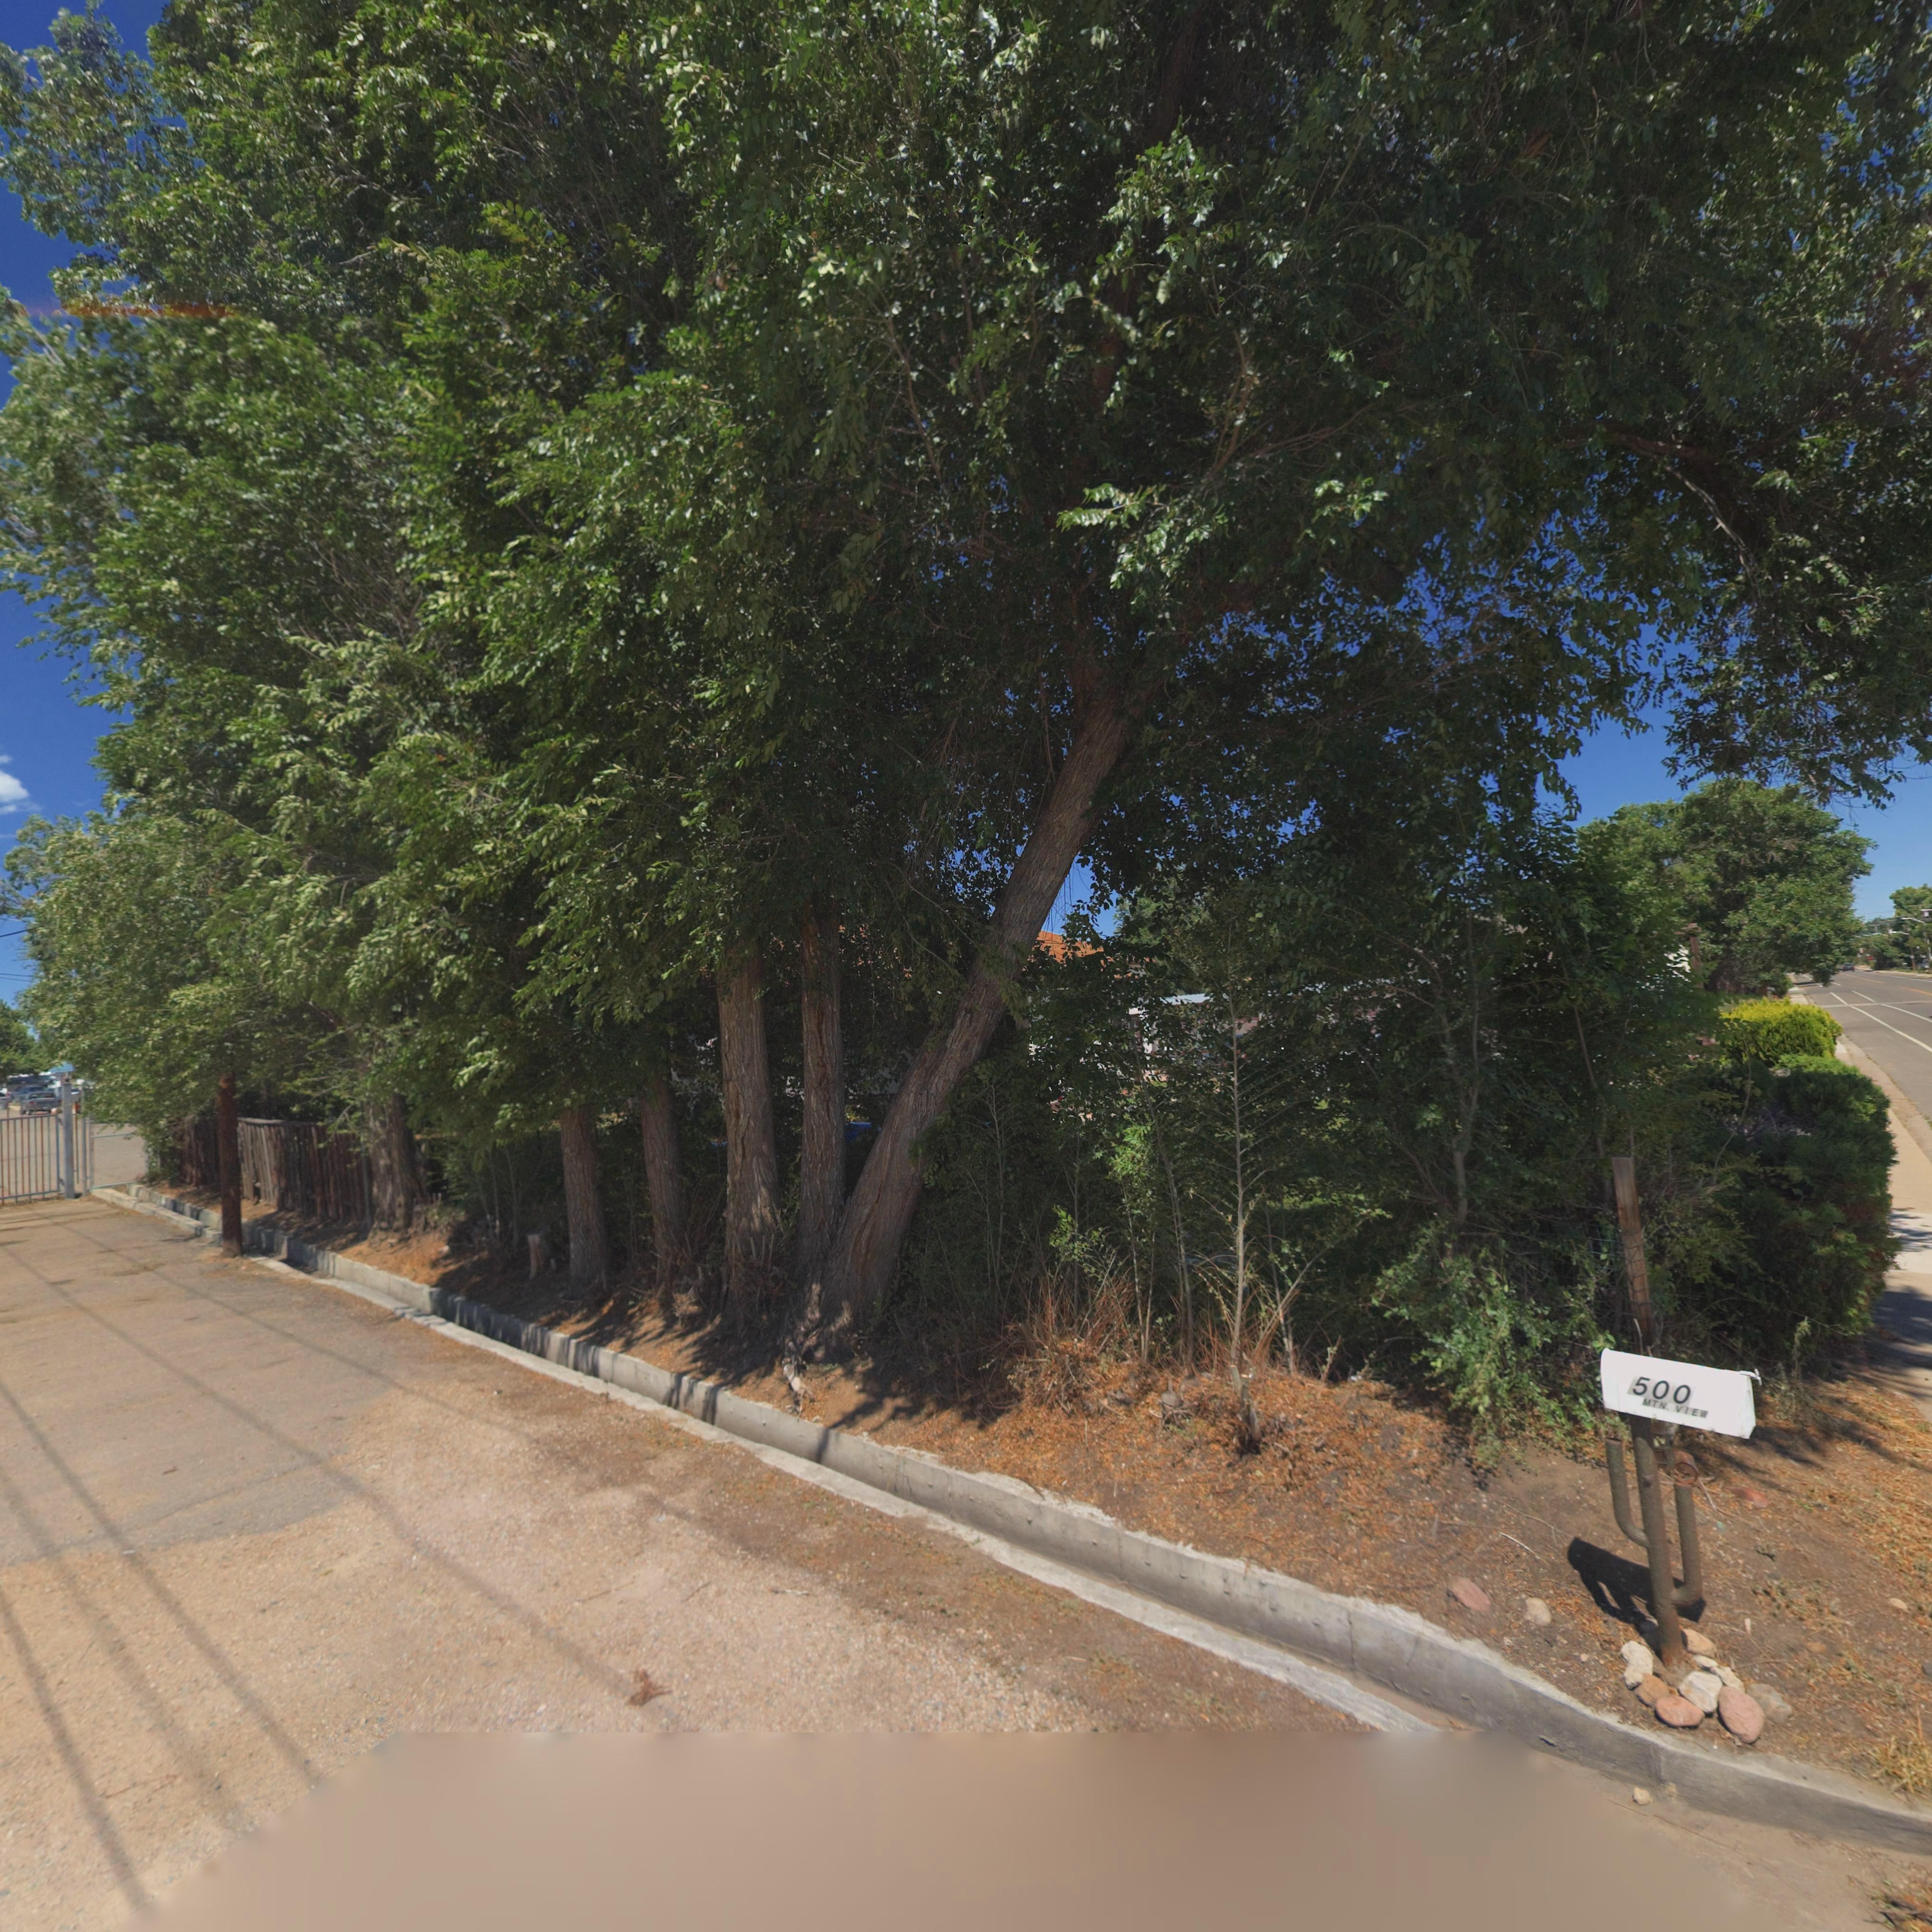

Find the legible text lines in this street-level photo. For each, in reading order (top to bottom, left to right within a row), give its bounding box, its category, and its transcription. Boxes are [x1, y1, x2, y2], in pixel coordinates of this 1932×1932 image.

[1632, 1375, 1691, 1405] StreetNumber: 500
[1641, 1398, 1709, 1418] StreetName: MTN. VIEW